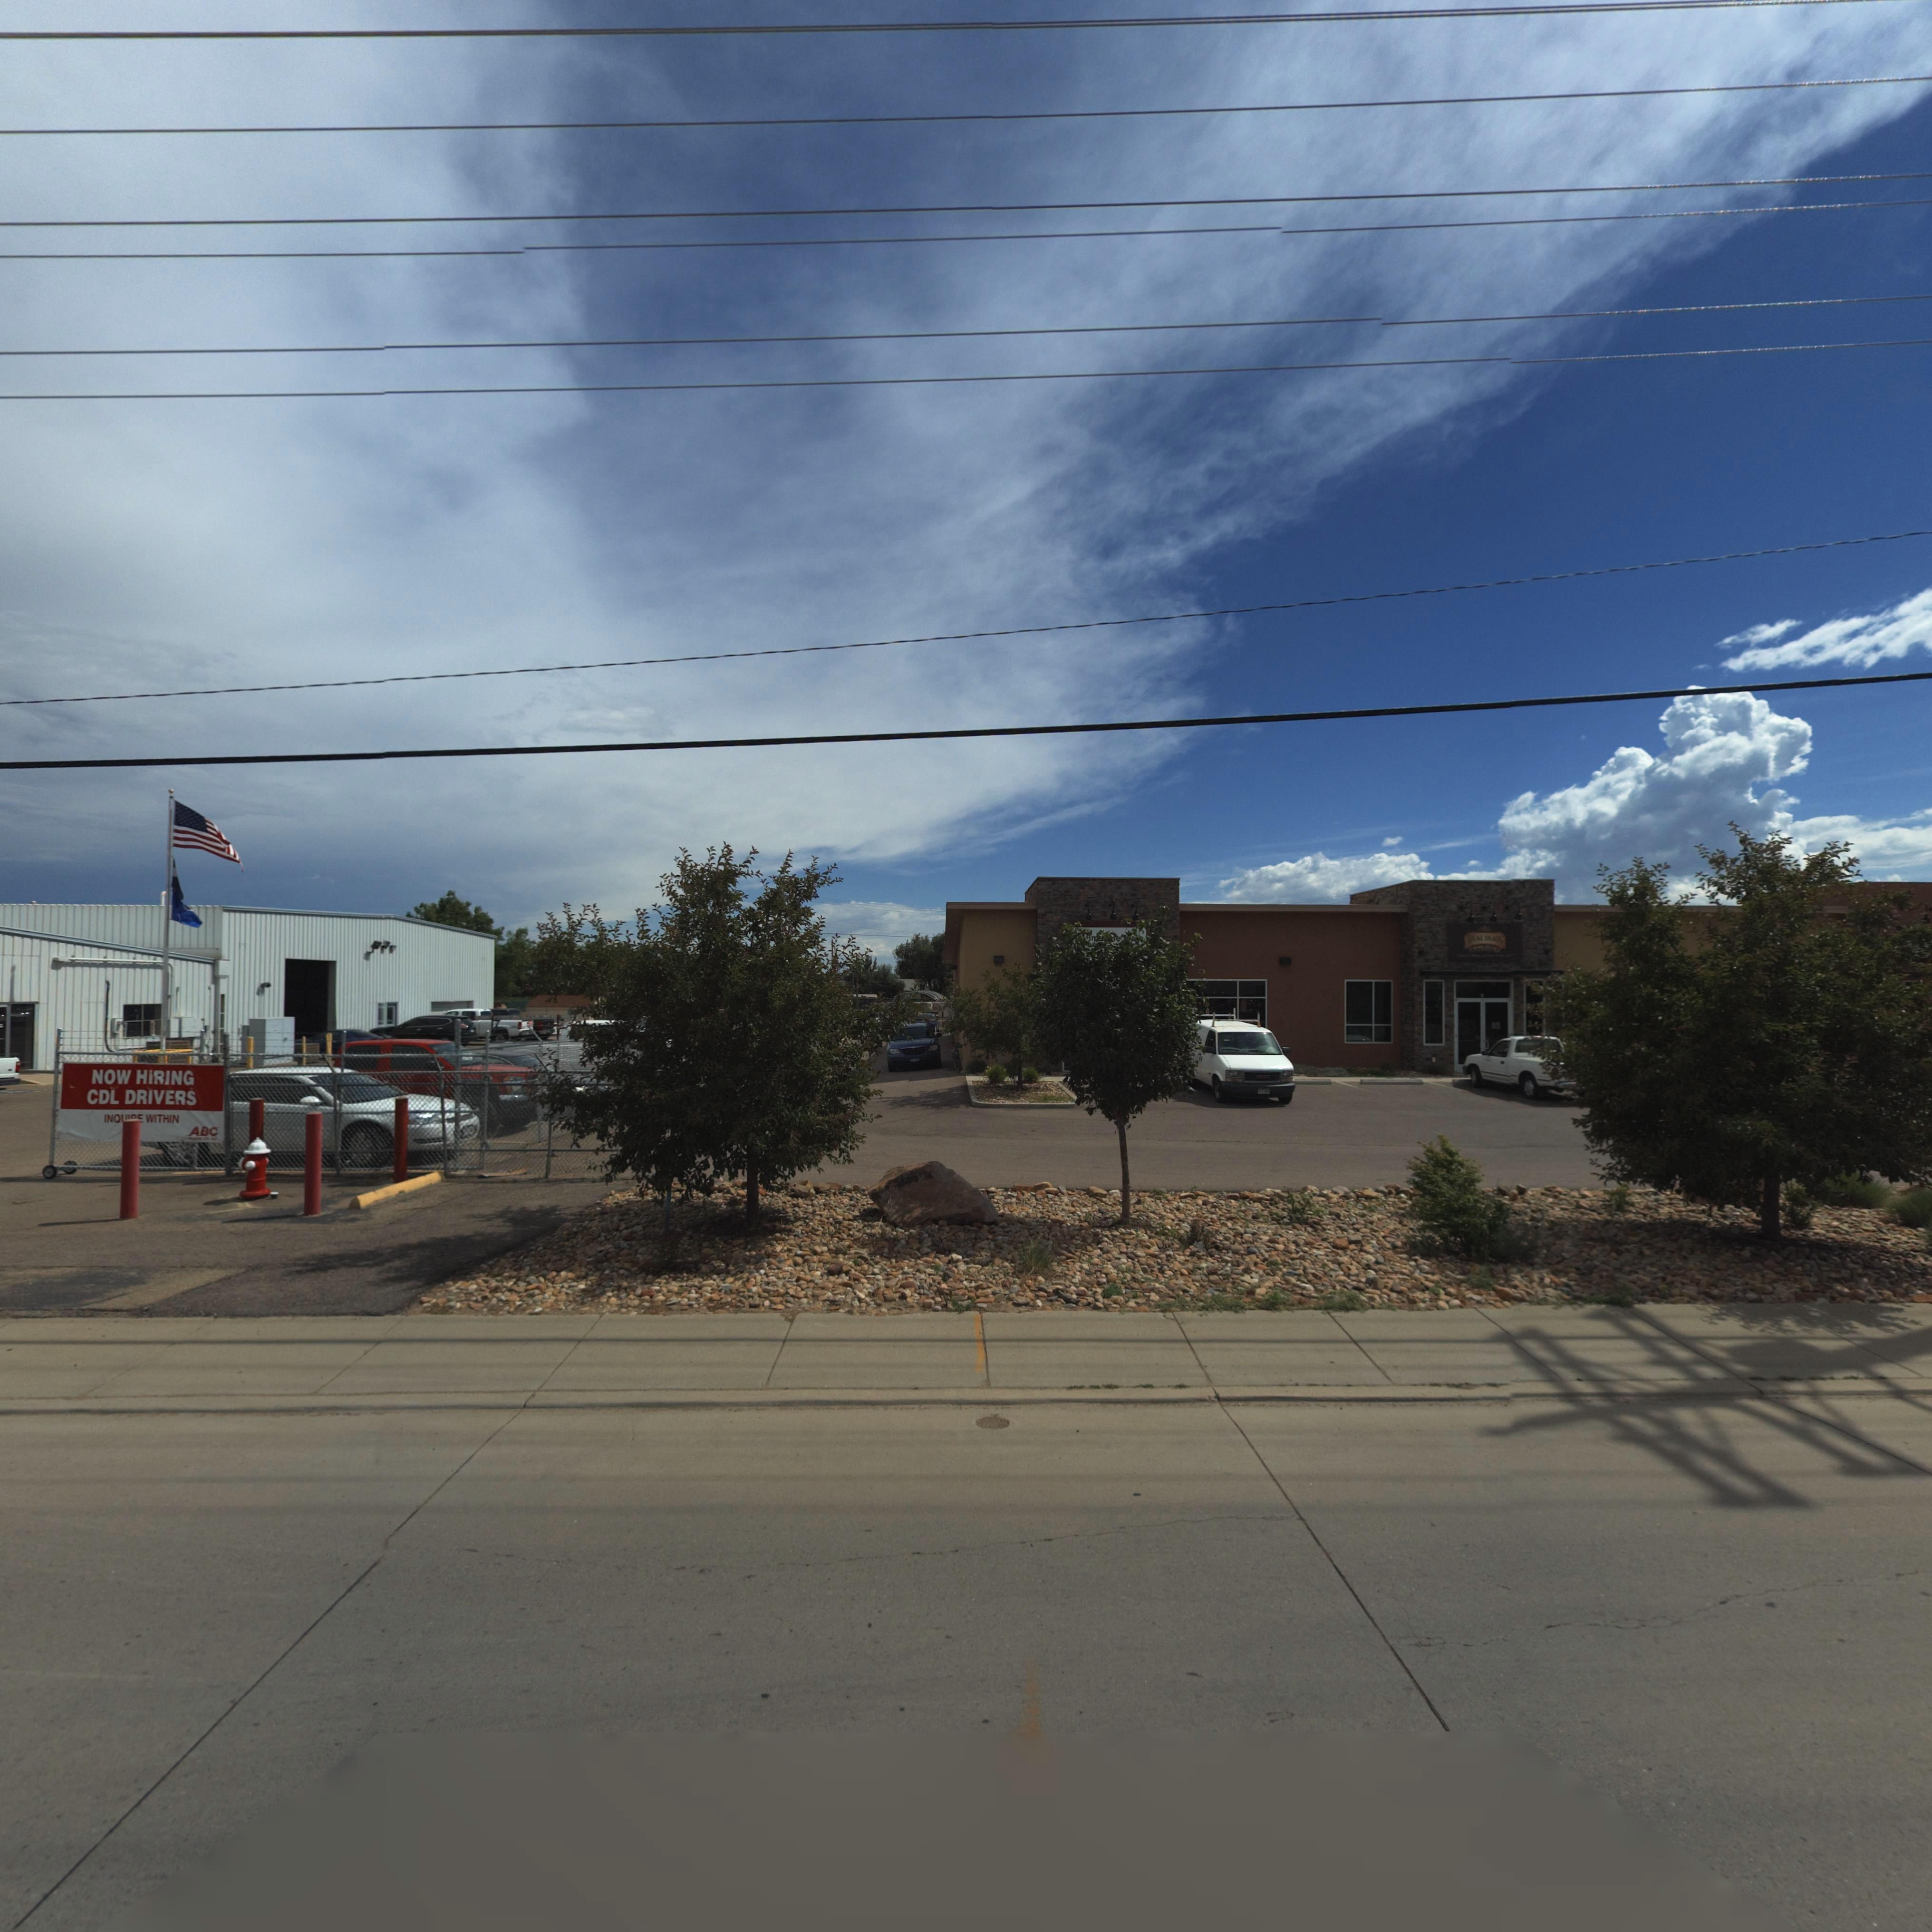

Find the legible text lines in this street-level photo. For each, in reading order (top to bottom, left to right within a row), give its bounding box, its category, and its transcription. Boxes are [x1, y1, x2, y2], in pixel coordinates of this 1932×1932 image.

[1089, 934, 1144, 941] BusinessName: Im****e ****
[1467, 934, 1505, 945] BusinessName: REAL DEALS
[187, 1125, 219, 1137] BusinessName: ABC